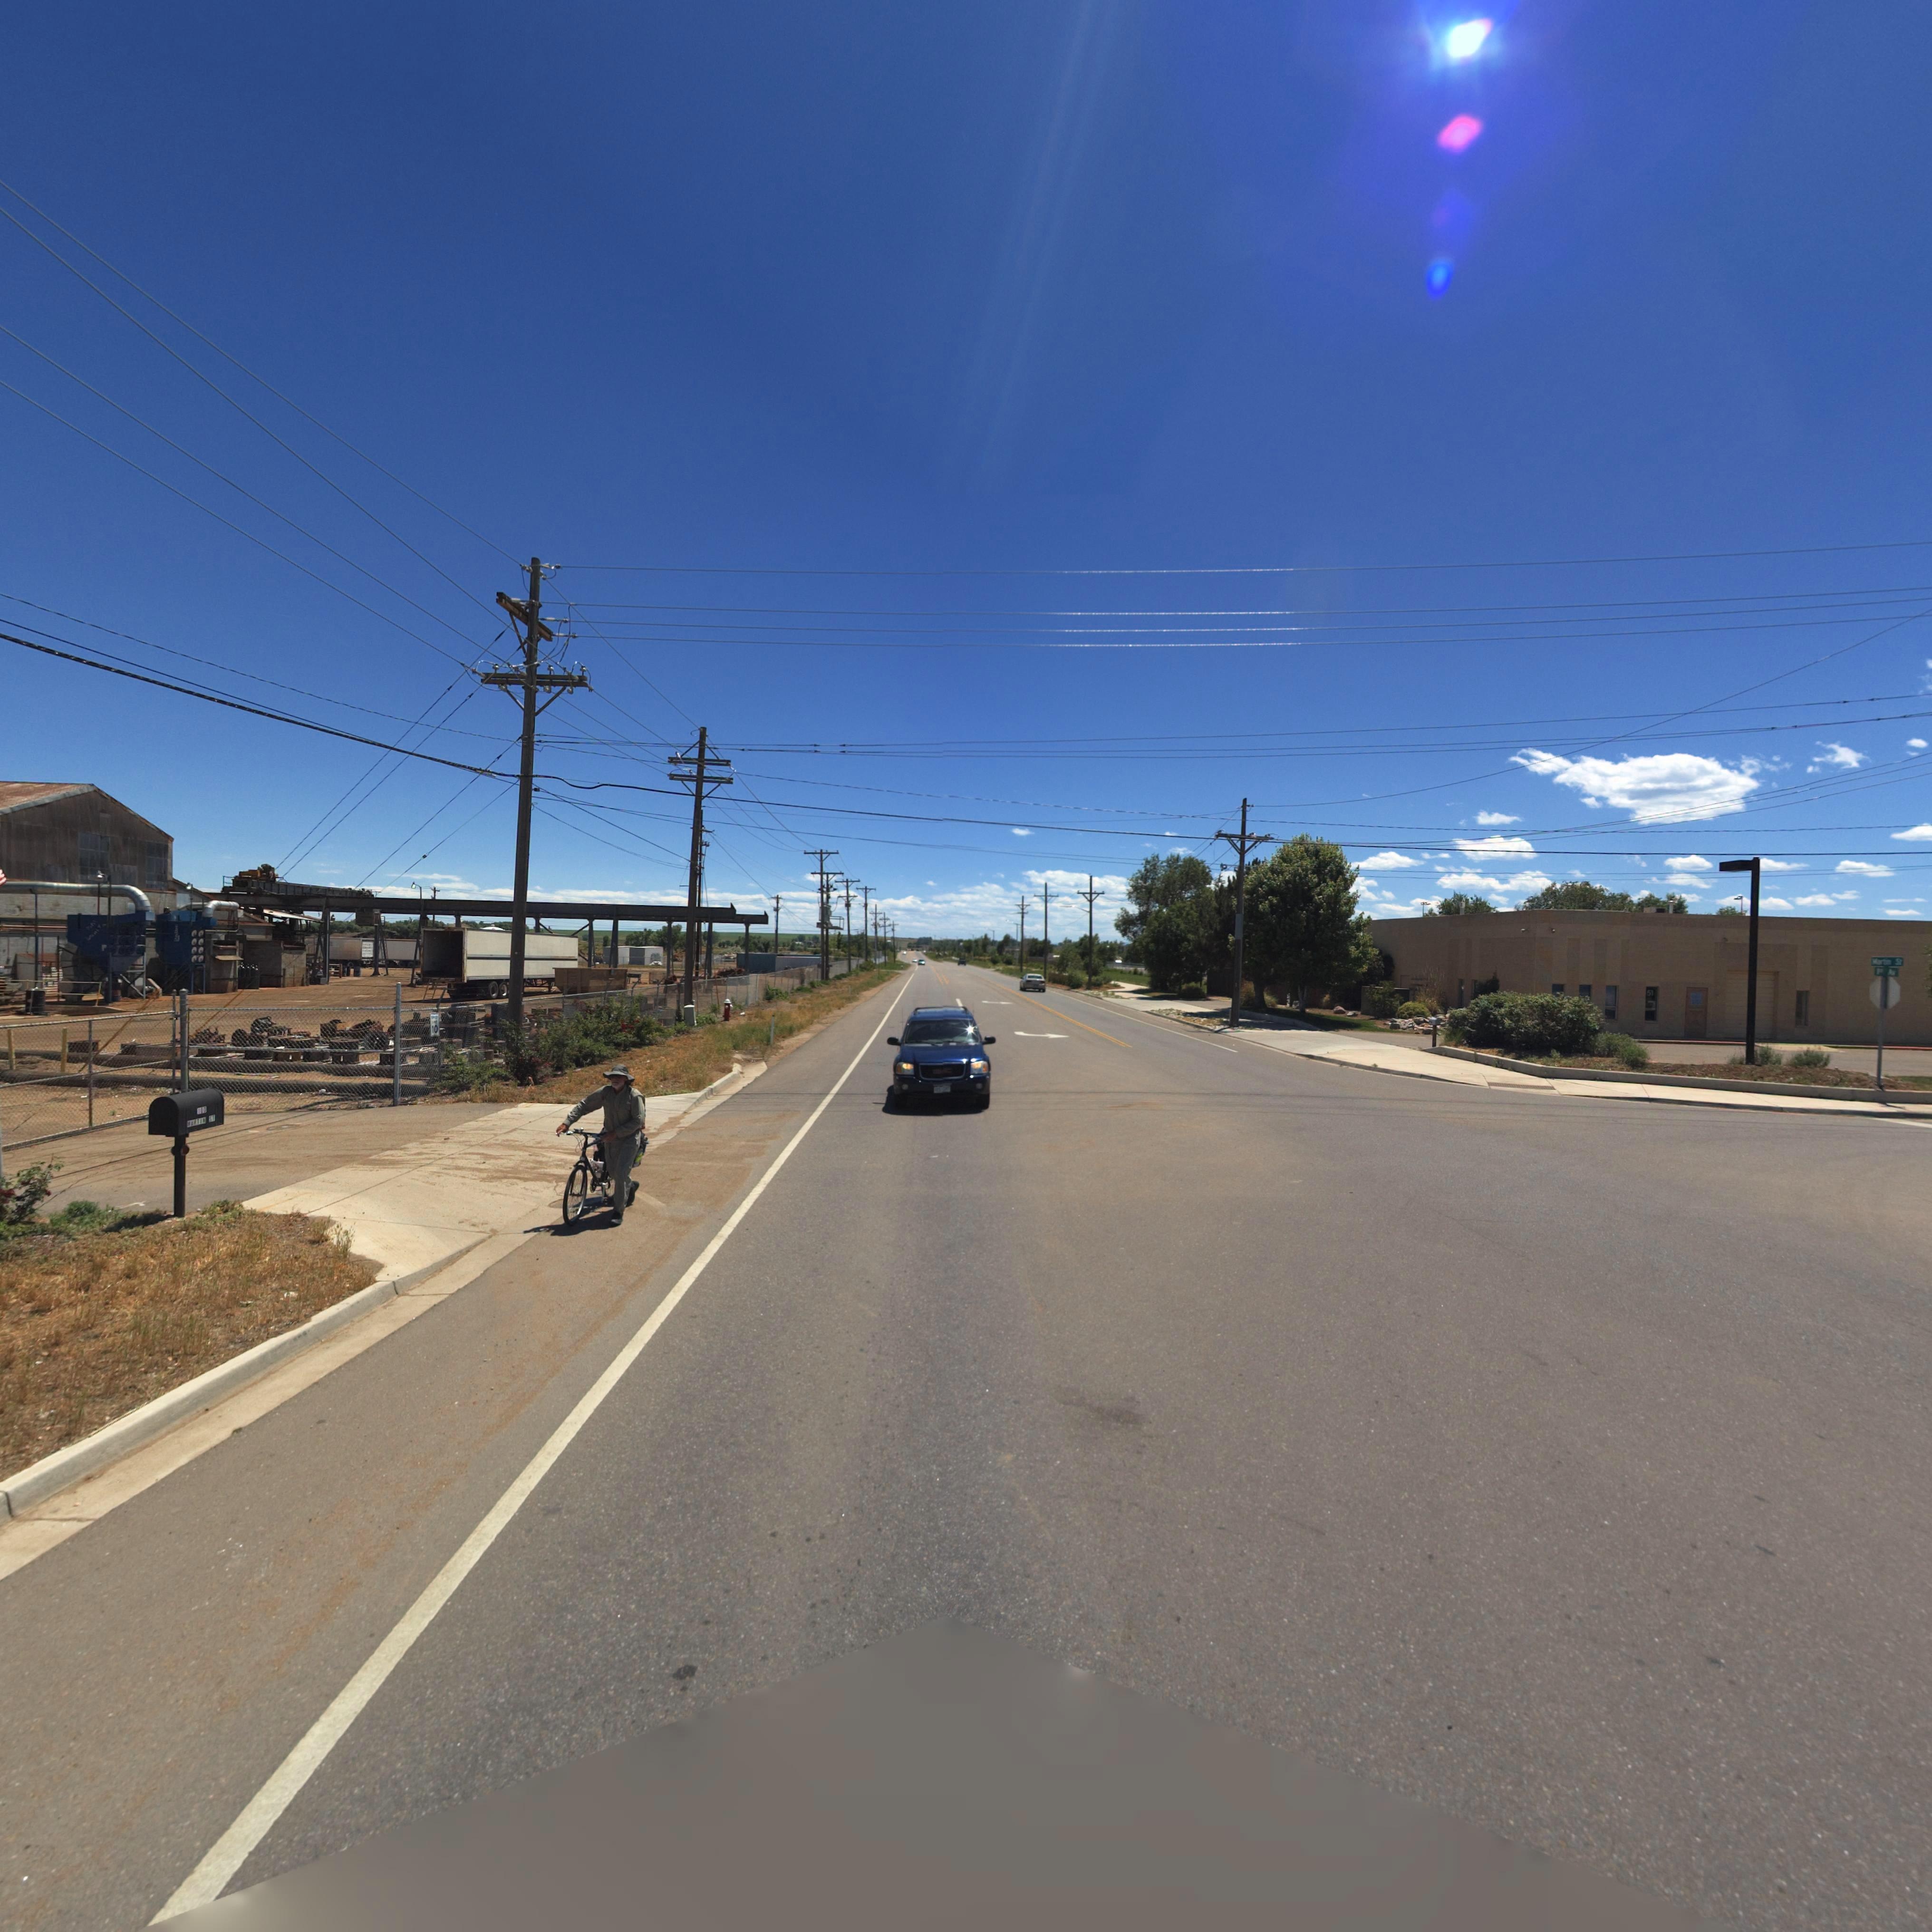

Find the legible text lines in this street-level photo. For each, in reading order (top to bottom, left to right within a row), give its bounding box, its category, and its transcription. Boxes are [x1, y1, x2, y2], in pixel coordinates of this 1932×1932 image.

[1872, 958, 1902, 965] StreetName: Mart*n St
[1876, 968, 1896, 976] StreetName: *** Av
[197, 1106, 206, 1114] StreetNumber: 10*
[187, 1114, 215, 1127] StreetName: M*RTI* S*